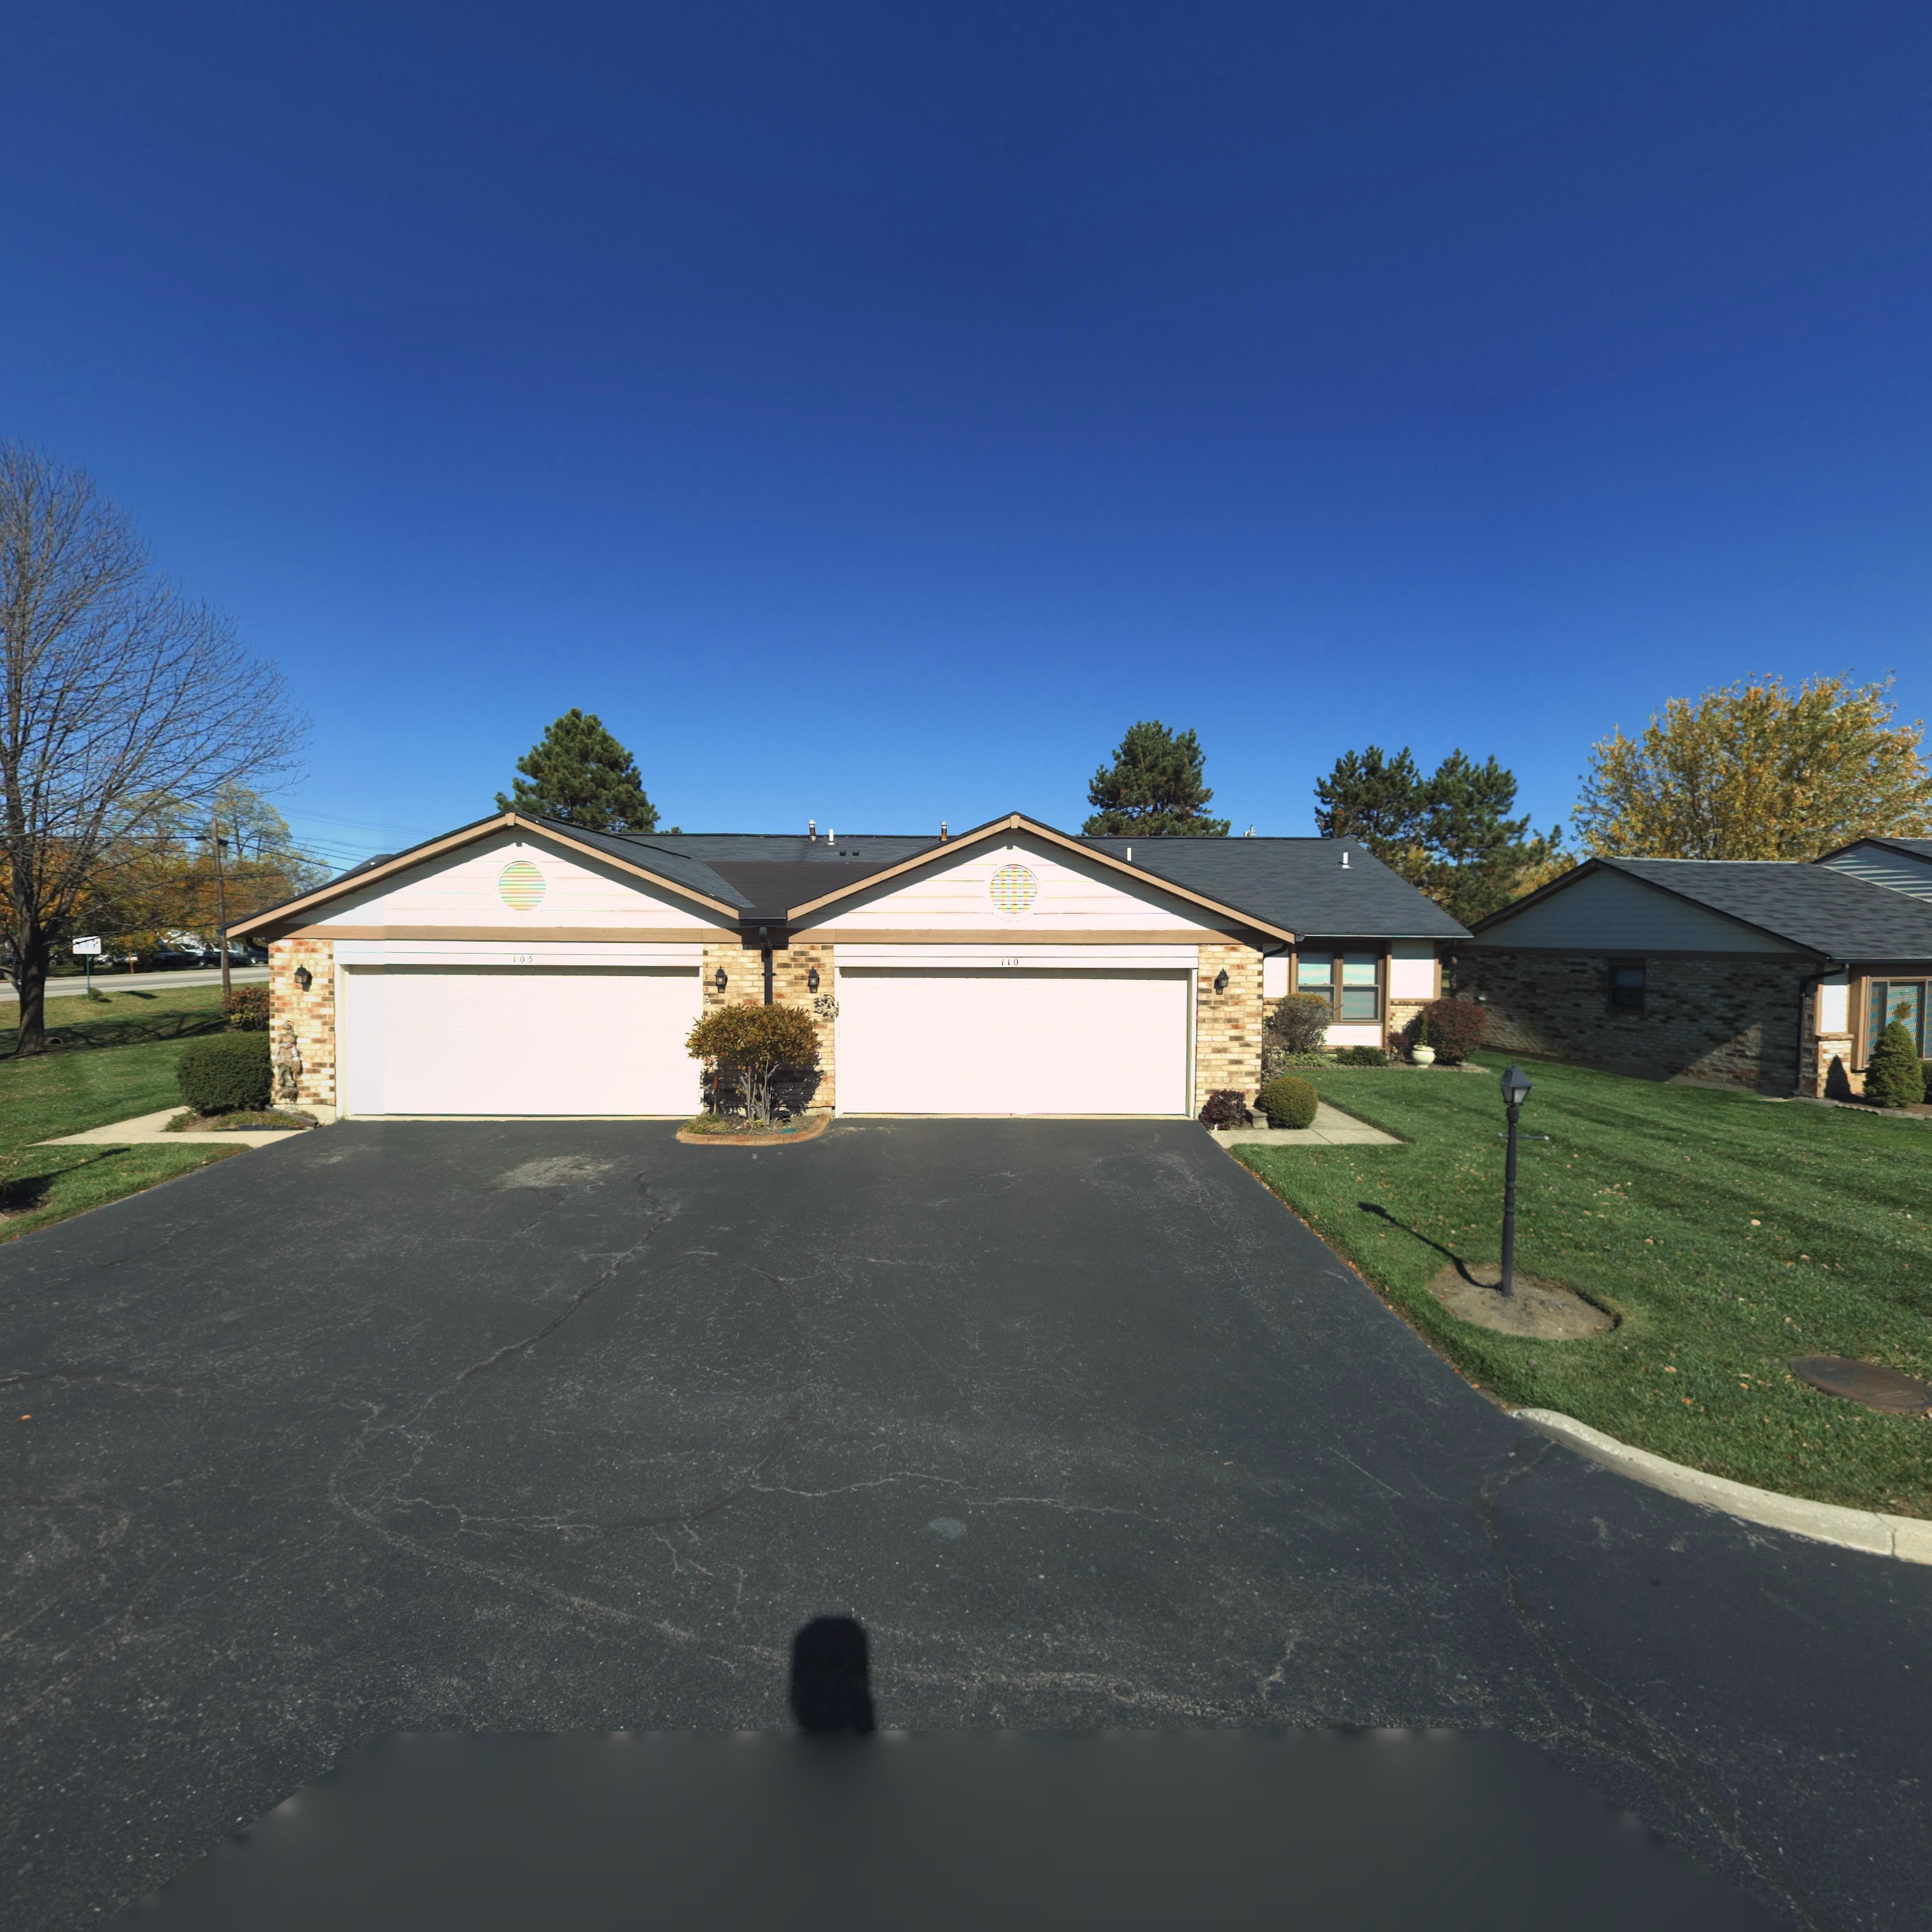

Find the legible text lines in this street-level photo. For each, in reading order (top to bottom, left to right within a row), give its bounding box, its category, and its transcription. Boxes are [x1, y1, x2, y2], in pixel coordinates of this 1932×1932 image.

[512, 955, 533, 964] StreetNumber: 105
[1001, 958, 1019, 966] StreetNumber: 110